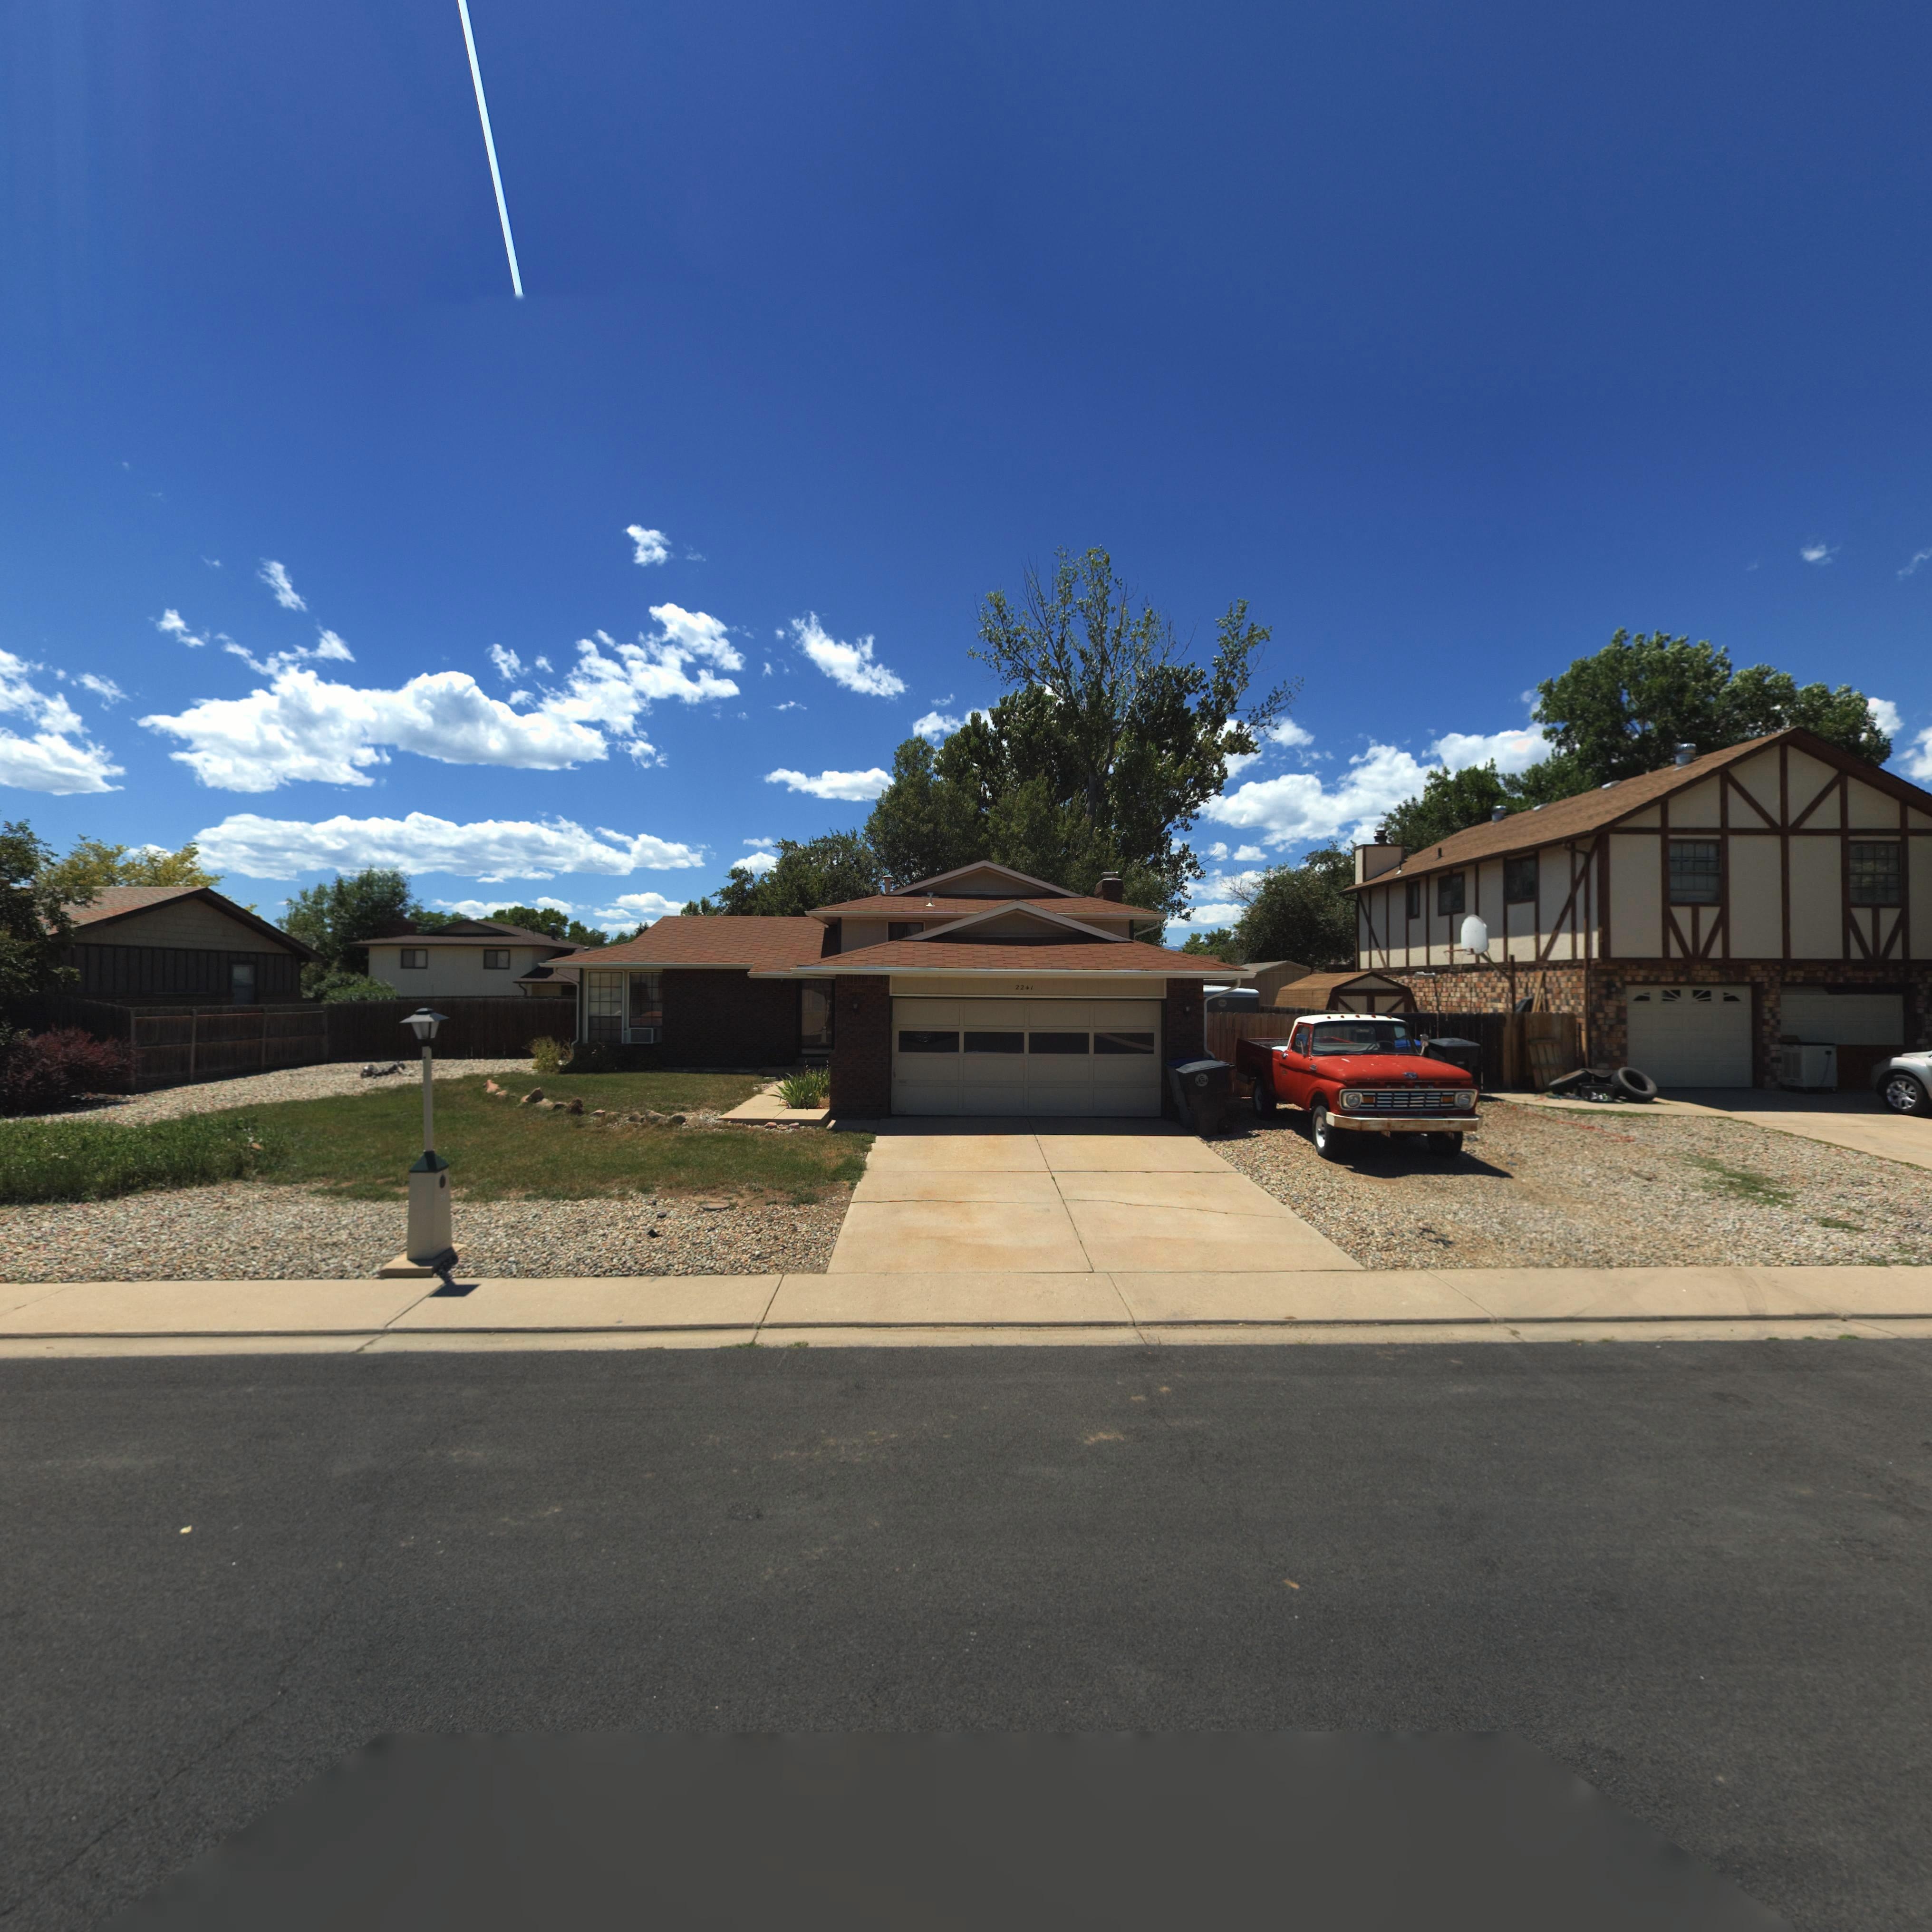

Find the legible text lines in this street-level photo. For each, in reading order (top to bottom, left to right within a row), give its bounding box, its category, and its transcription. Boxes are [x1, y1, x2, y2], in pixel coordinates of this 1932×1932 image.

[1015, 985, 1033, 990] StreetNumber: 2241